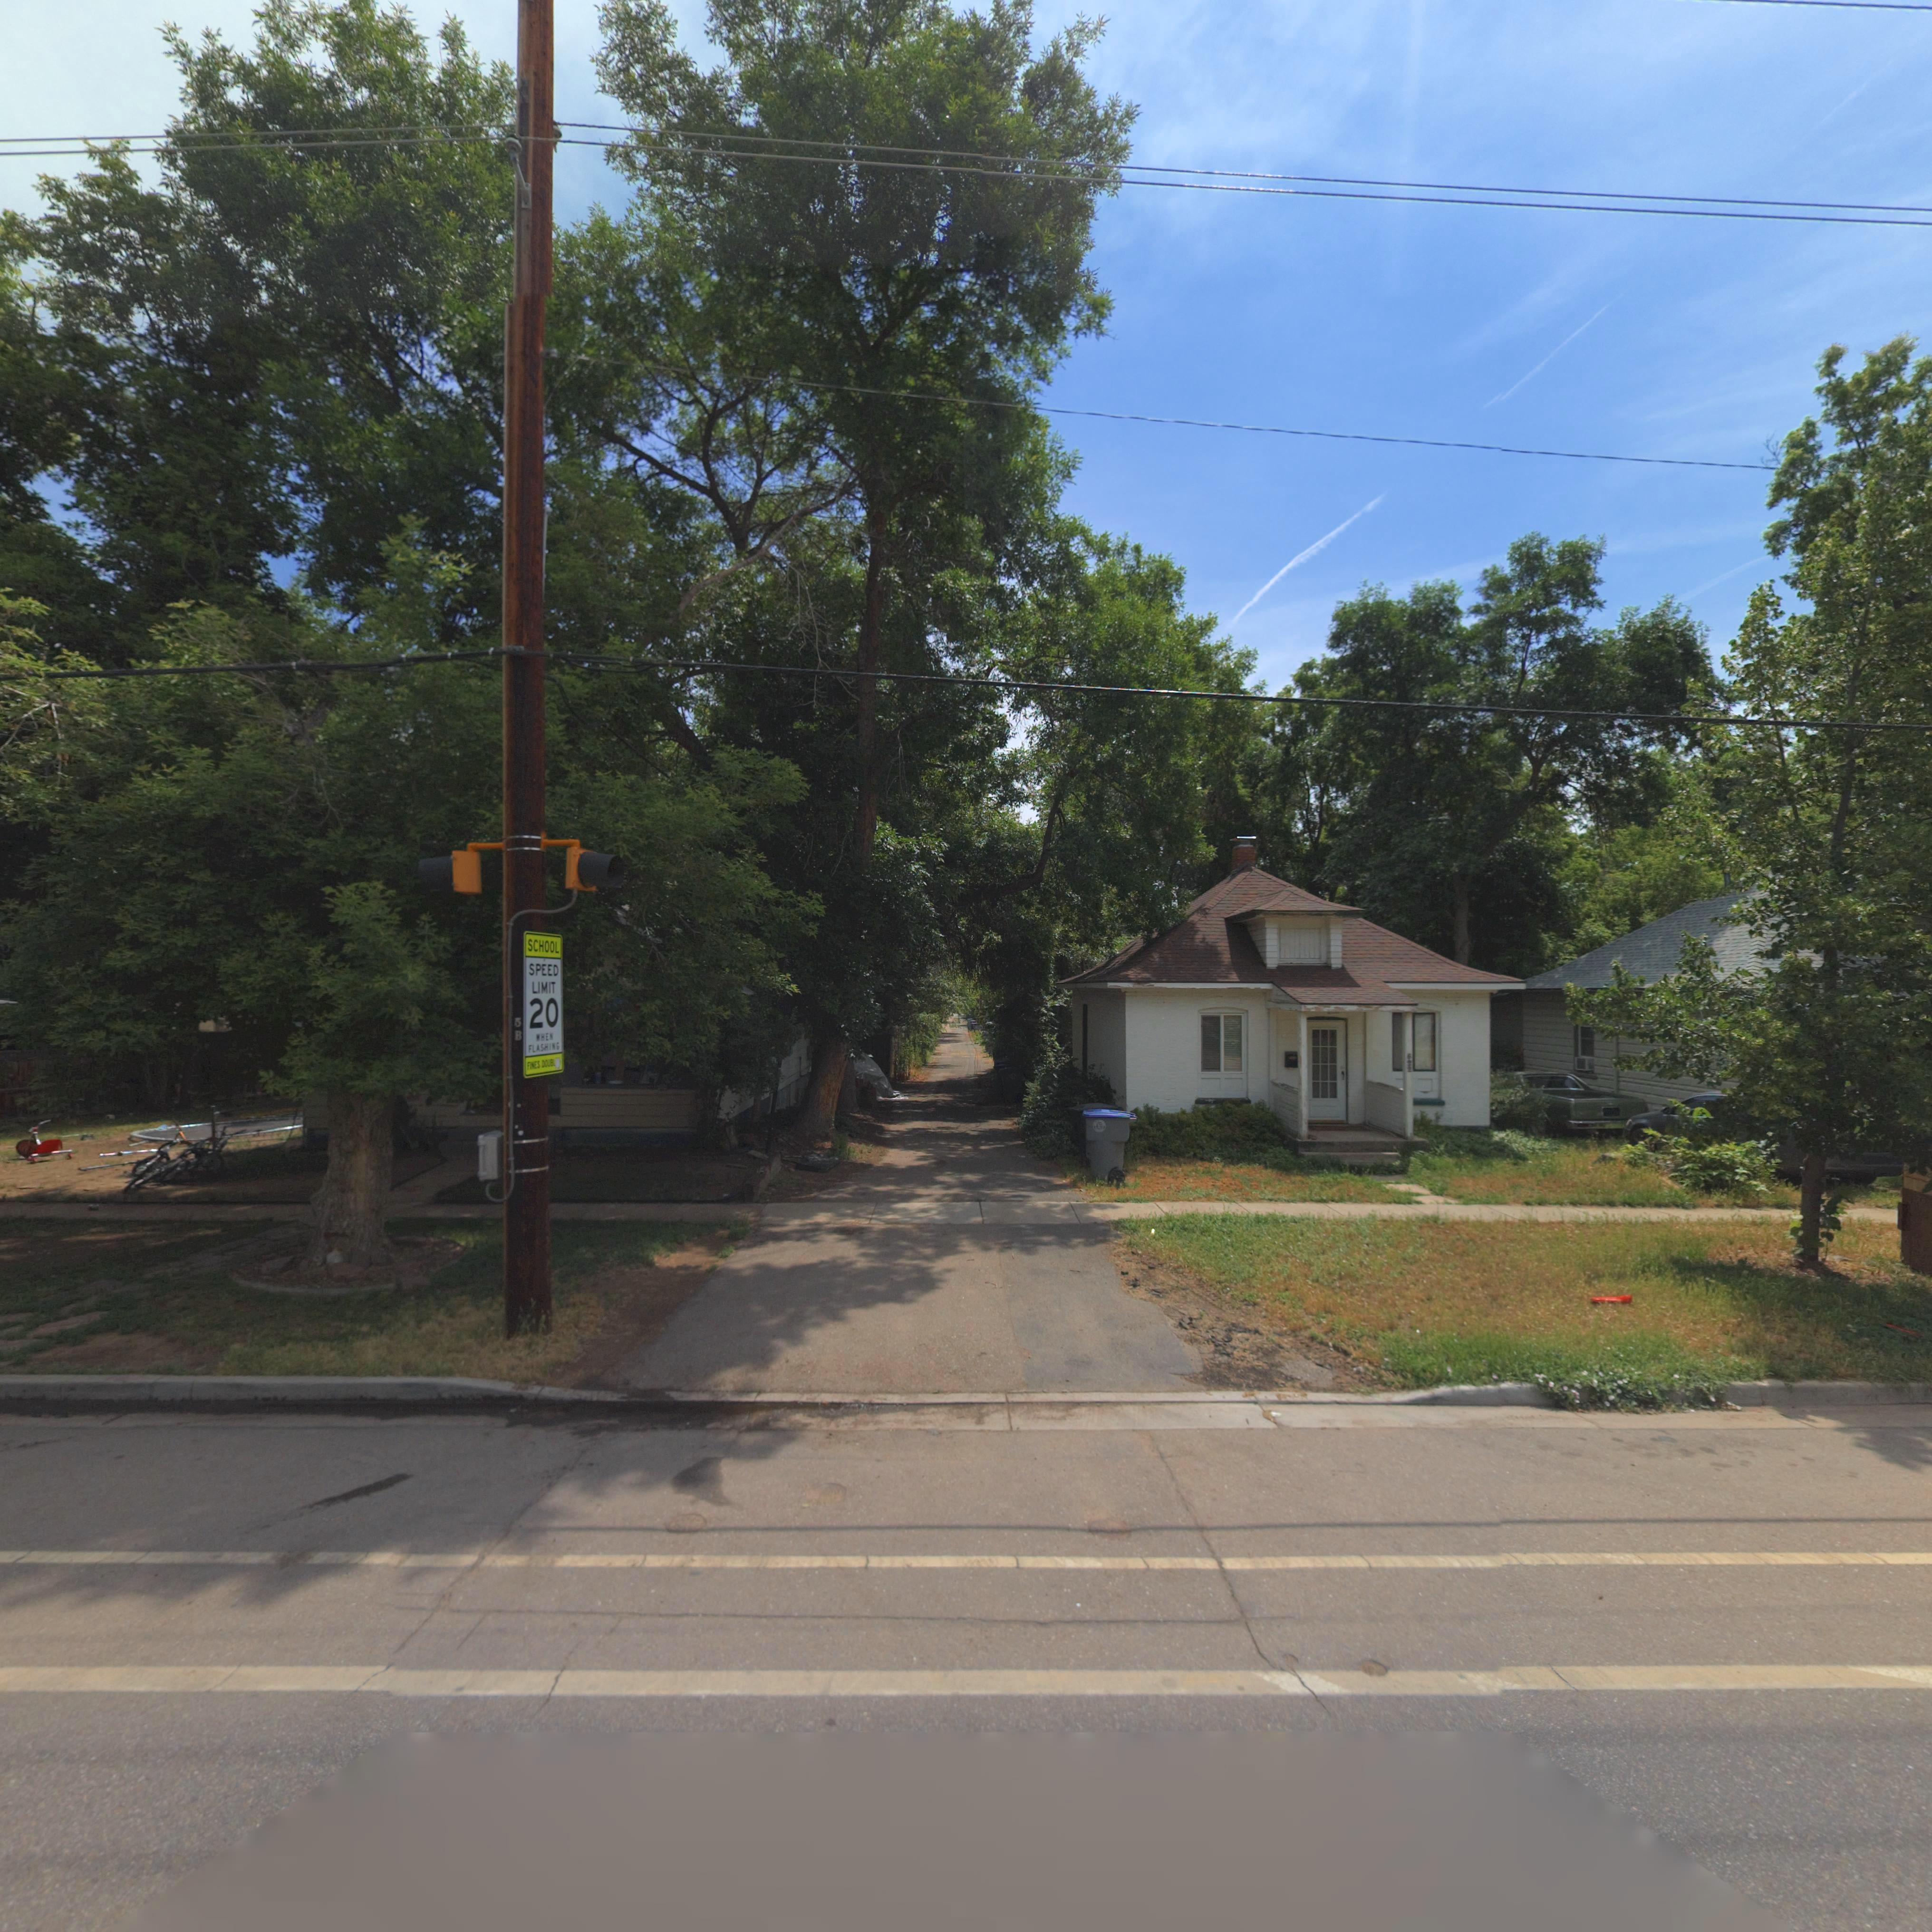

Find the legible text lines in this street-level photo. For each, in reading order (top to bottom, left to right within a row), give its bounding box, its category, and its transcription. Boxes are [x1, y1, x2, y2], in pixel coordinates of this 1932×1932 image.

[1406, 1053, 1412, 1072] StreetNumber: 622